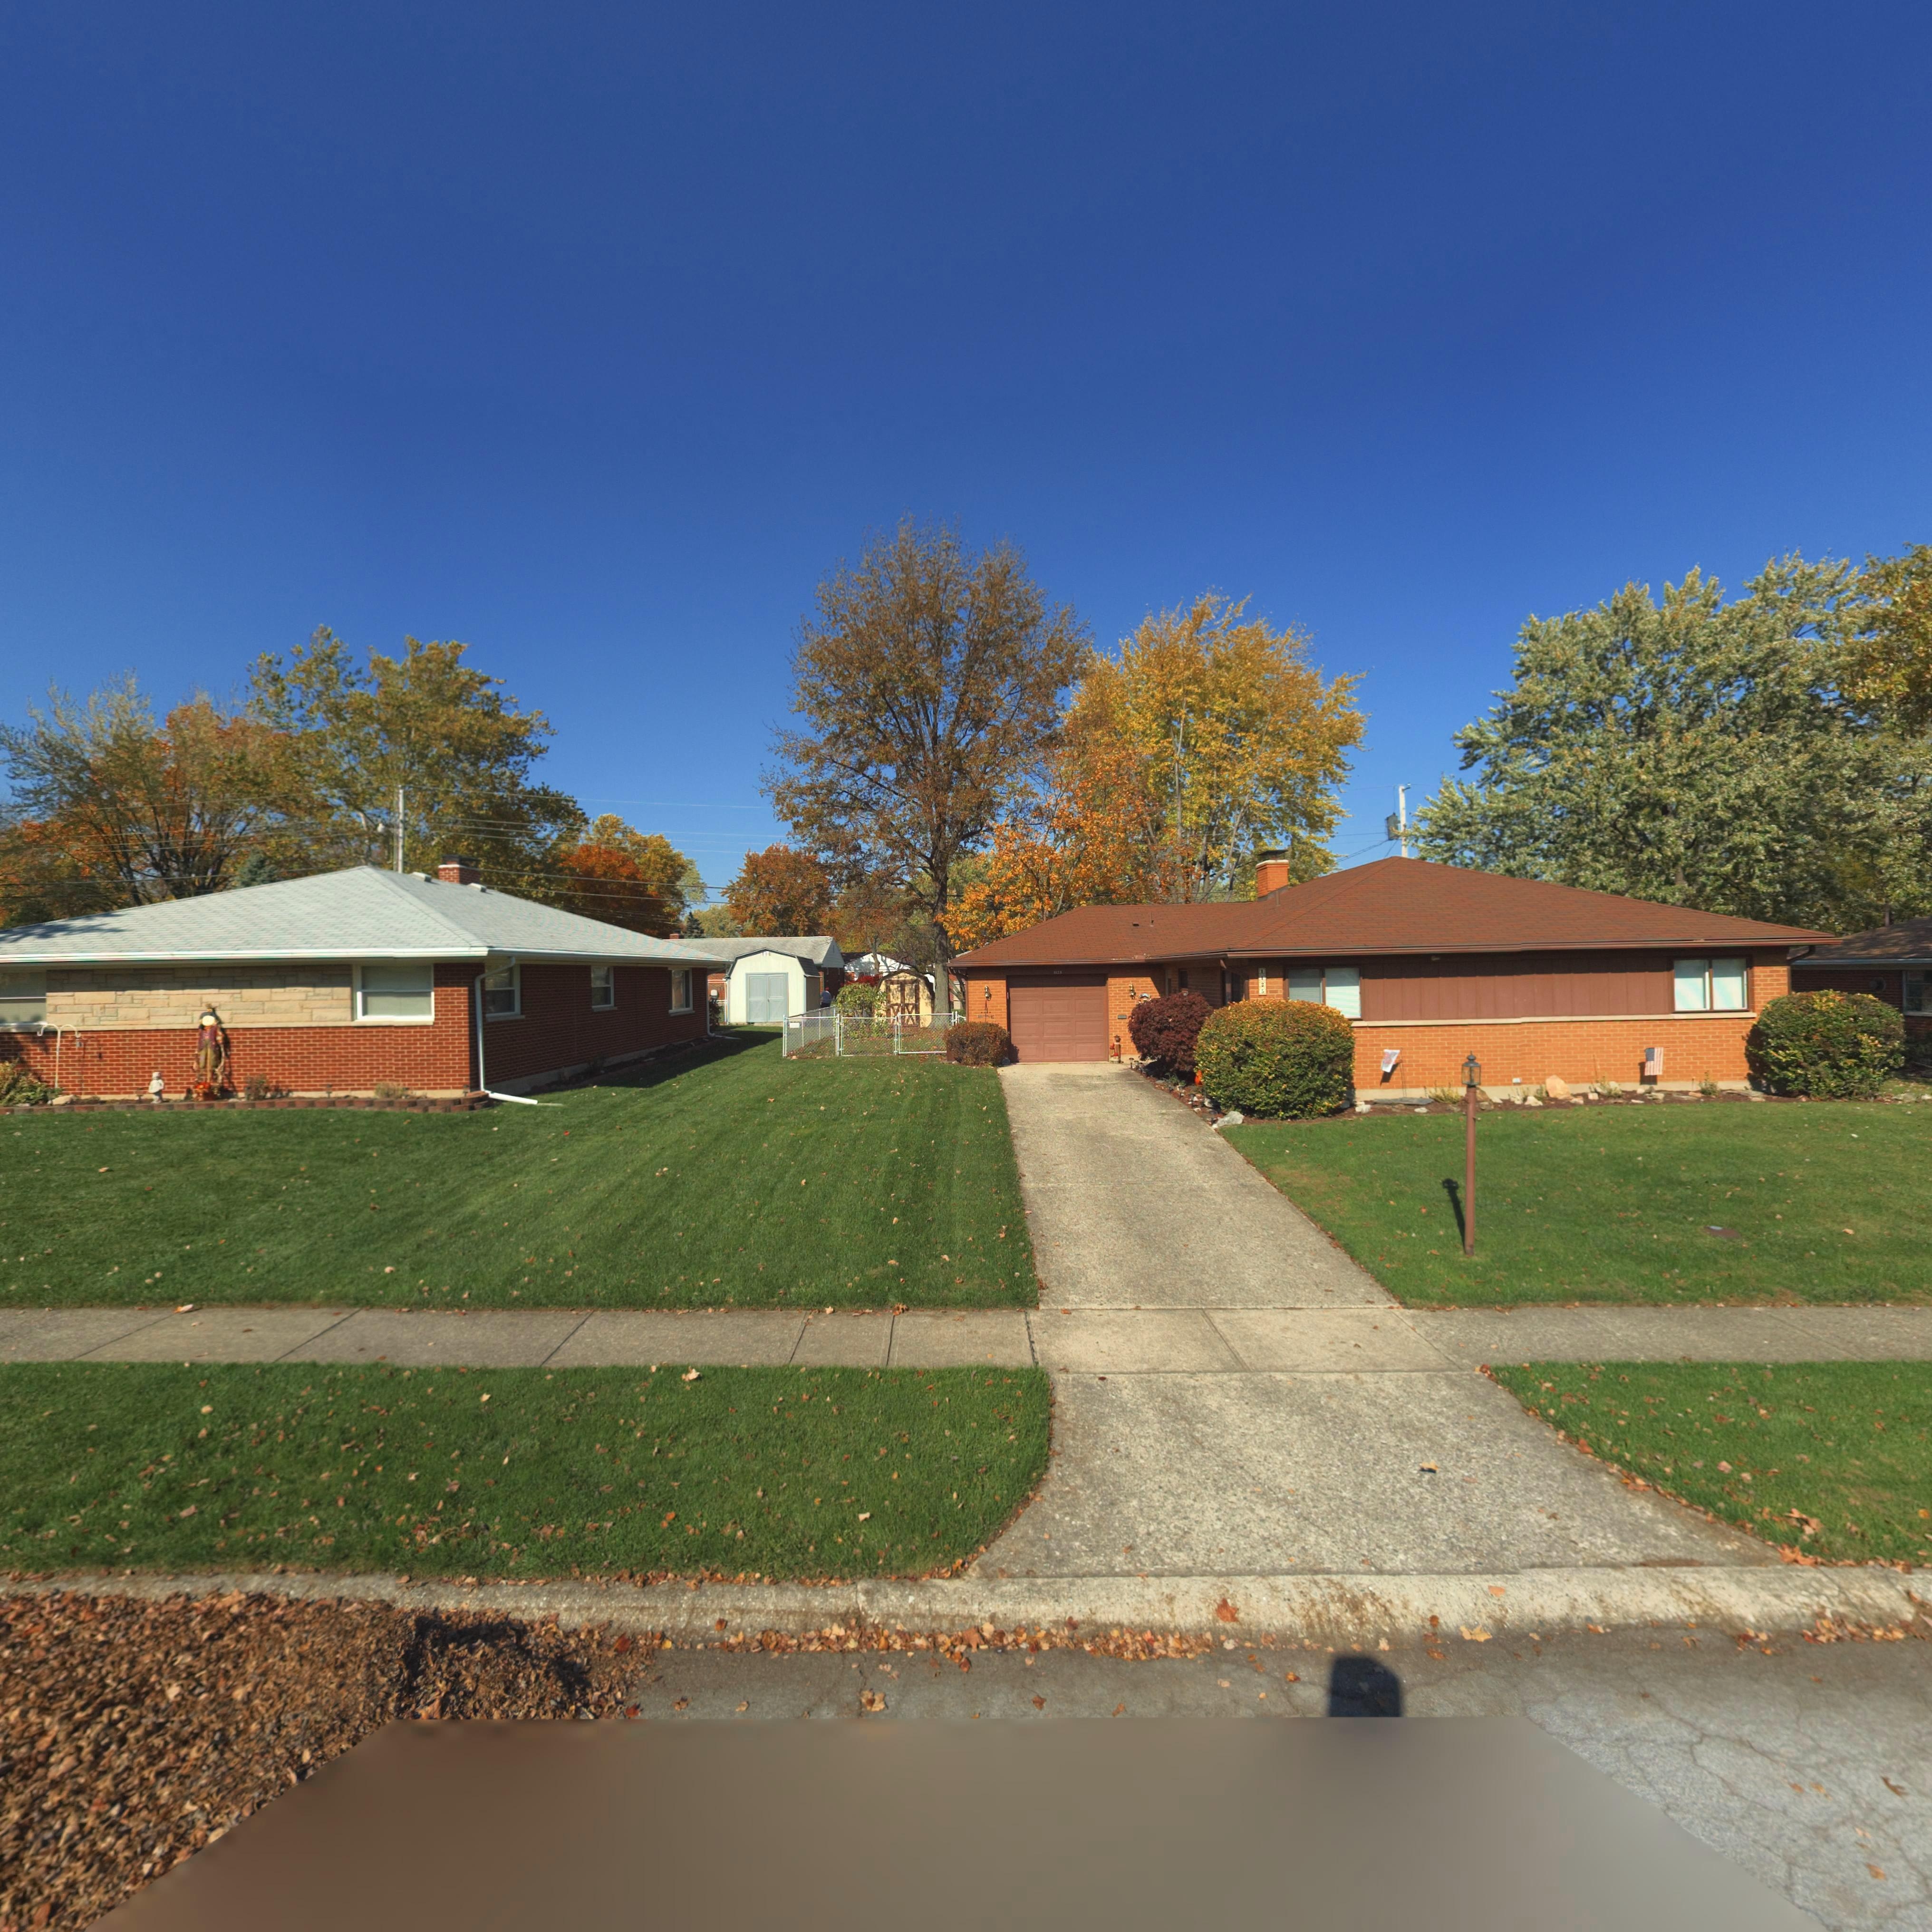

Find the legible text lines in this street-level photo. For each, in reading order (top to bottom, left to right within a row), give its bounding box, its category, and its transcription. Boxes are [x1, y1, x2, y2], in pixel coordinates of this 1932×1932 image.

[1052, 969, 1063, 975] StreetNumber: 11**
[1259, 968, 1265, 995] StreetNumber: 112*